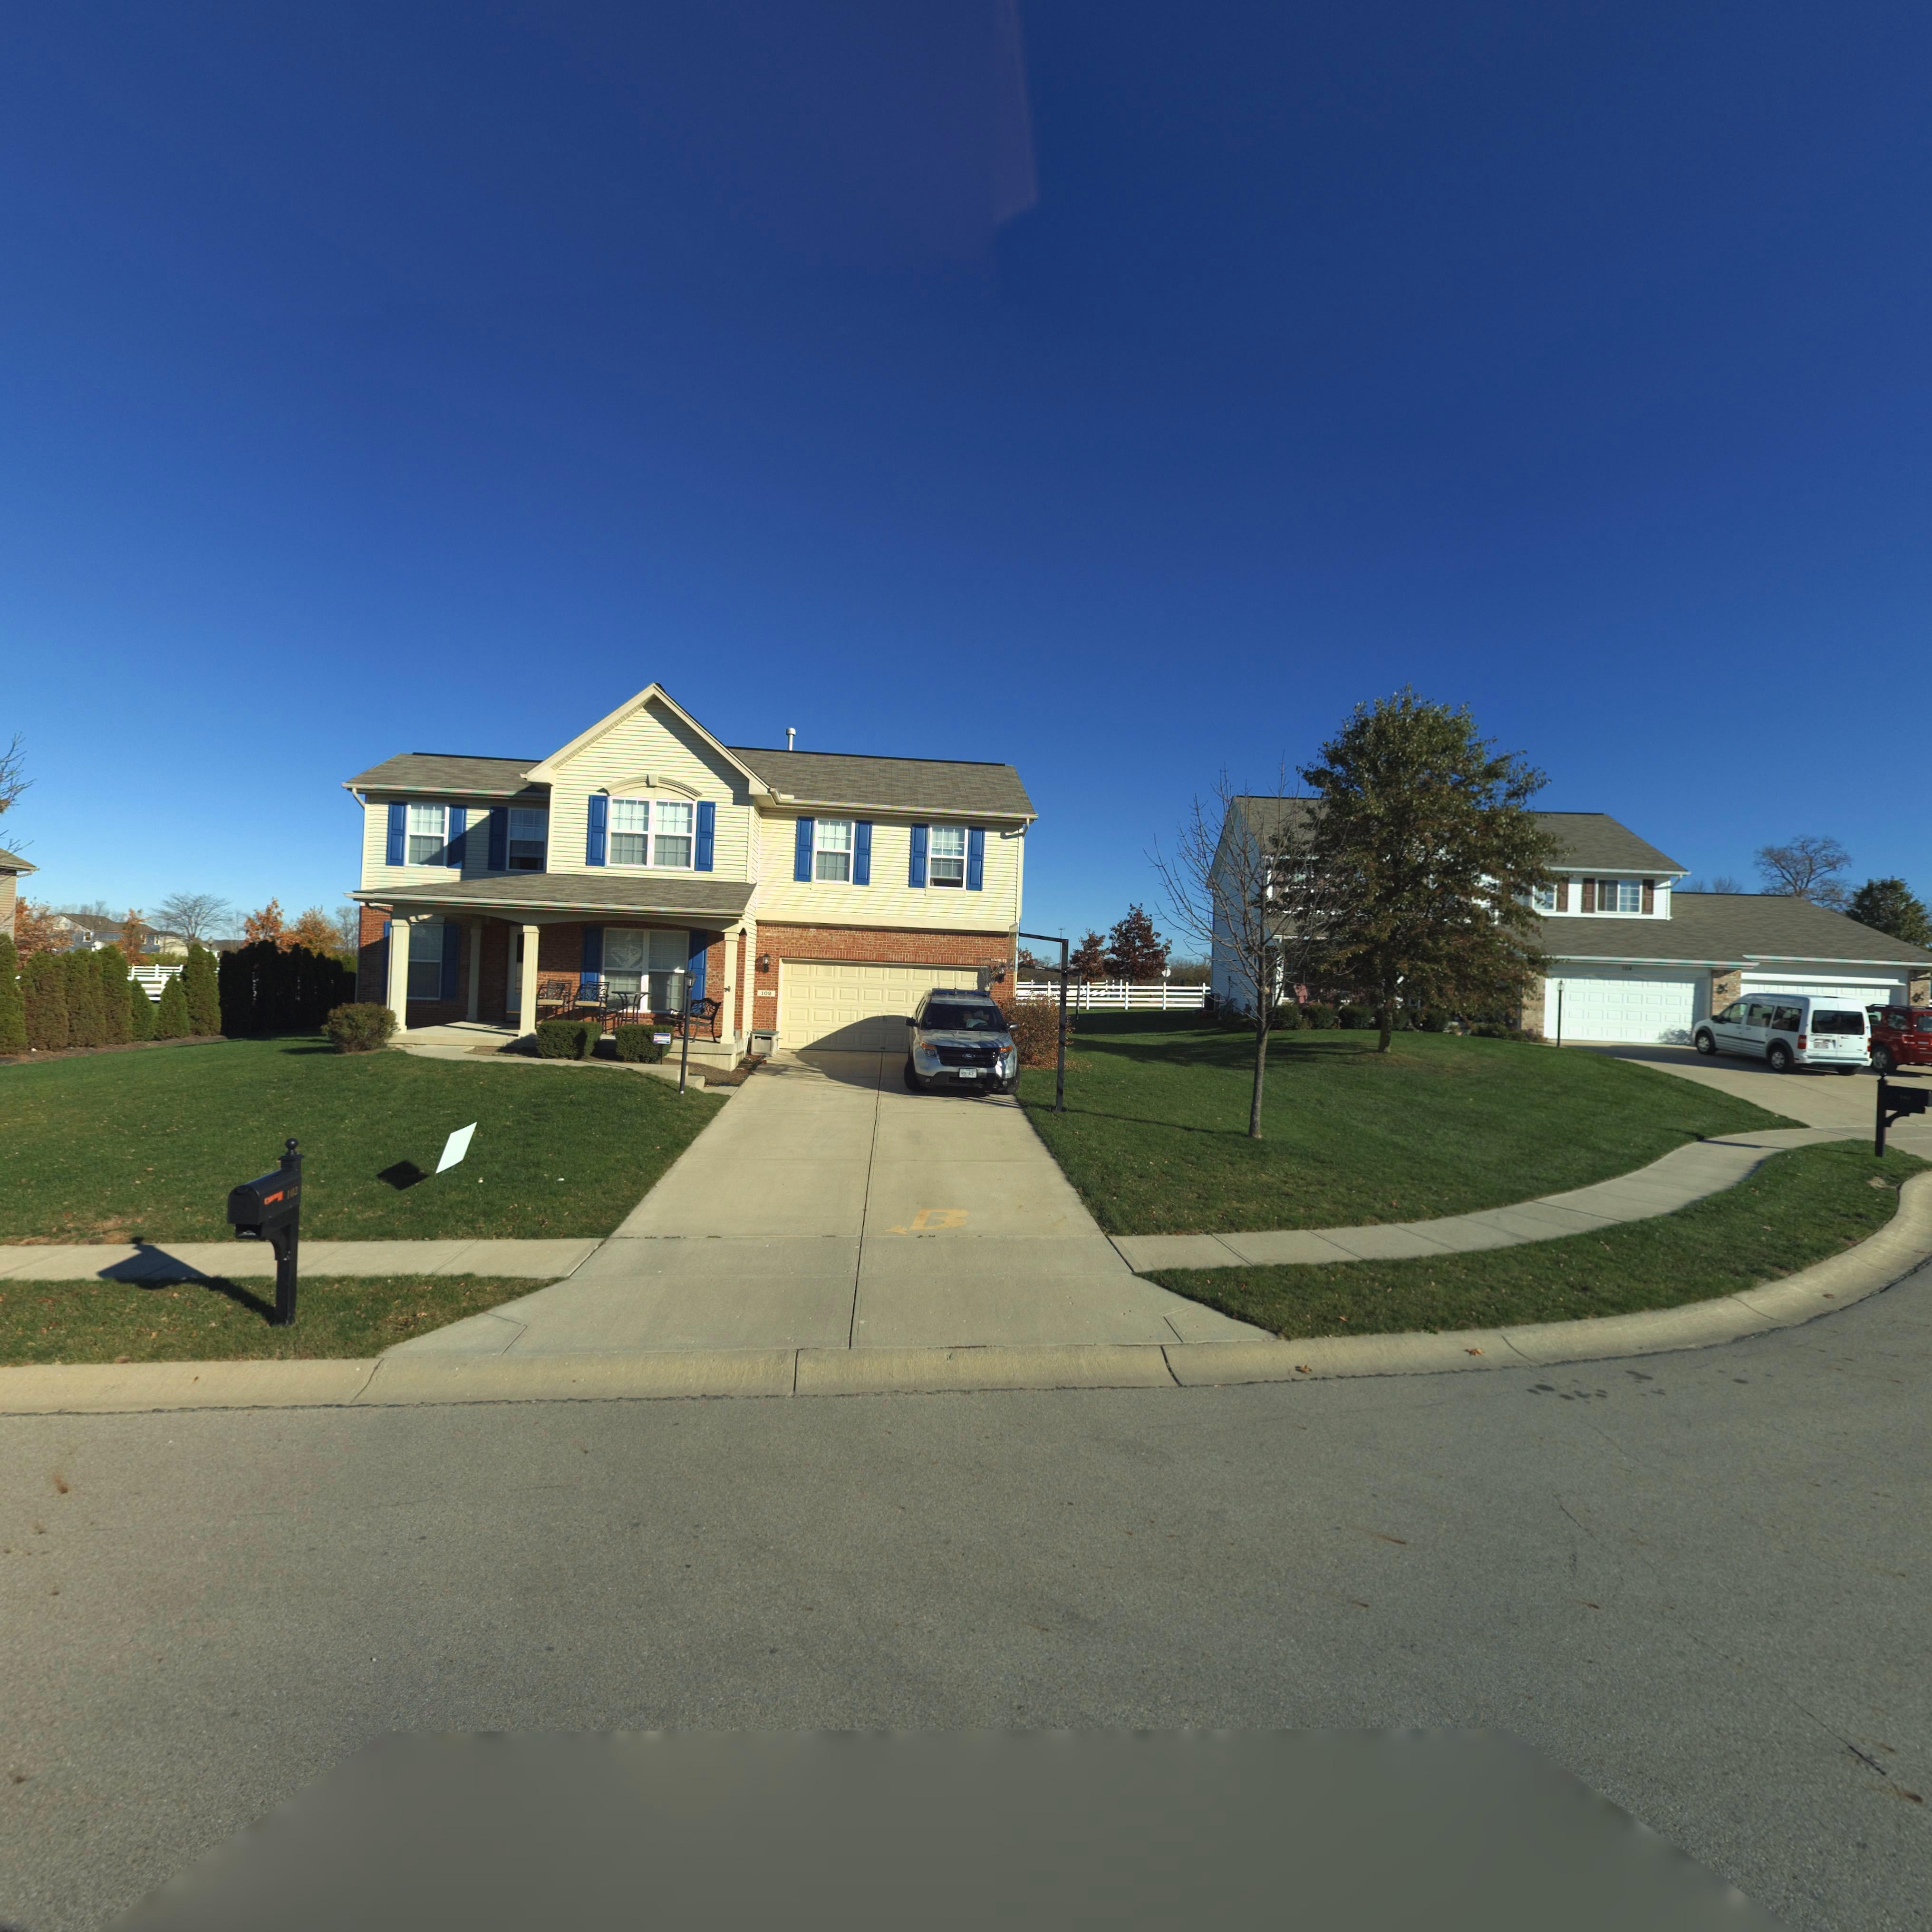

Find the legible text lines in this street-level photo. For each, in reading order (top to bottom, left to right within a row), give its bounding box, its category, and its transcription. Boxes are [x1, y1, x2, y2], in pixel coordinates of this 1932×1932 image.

[1621, 965, 1633, 972] StreetNumber: *0*
[761, 990, 773, 996] StreetNumber: 10*
[286, 1184, 299, 1201] StreetNumber: 10*